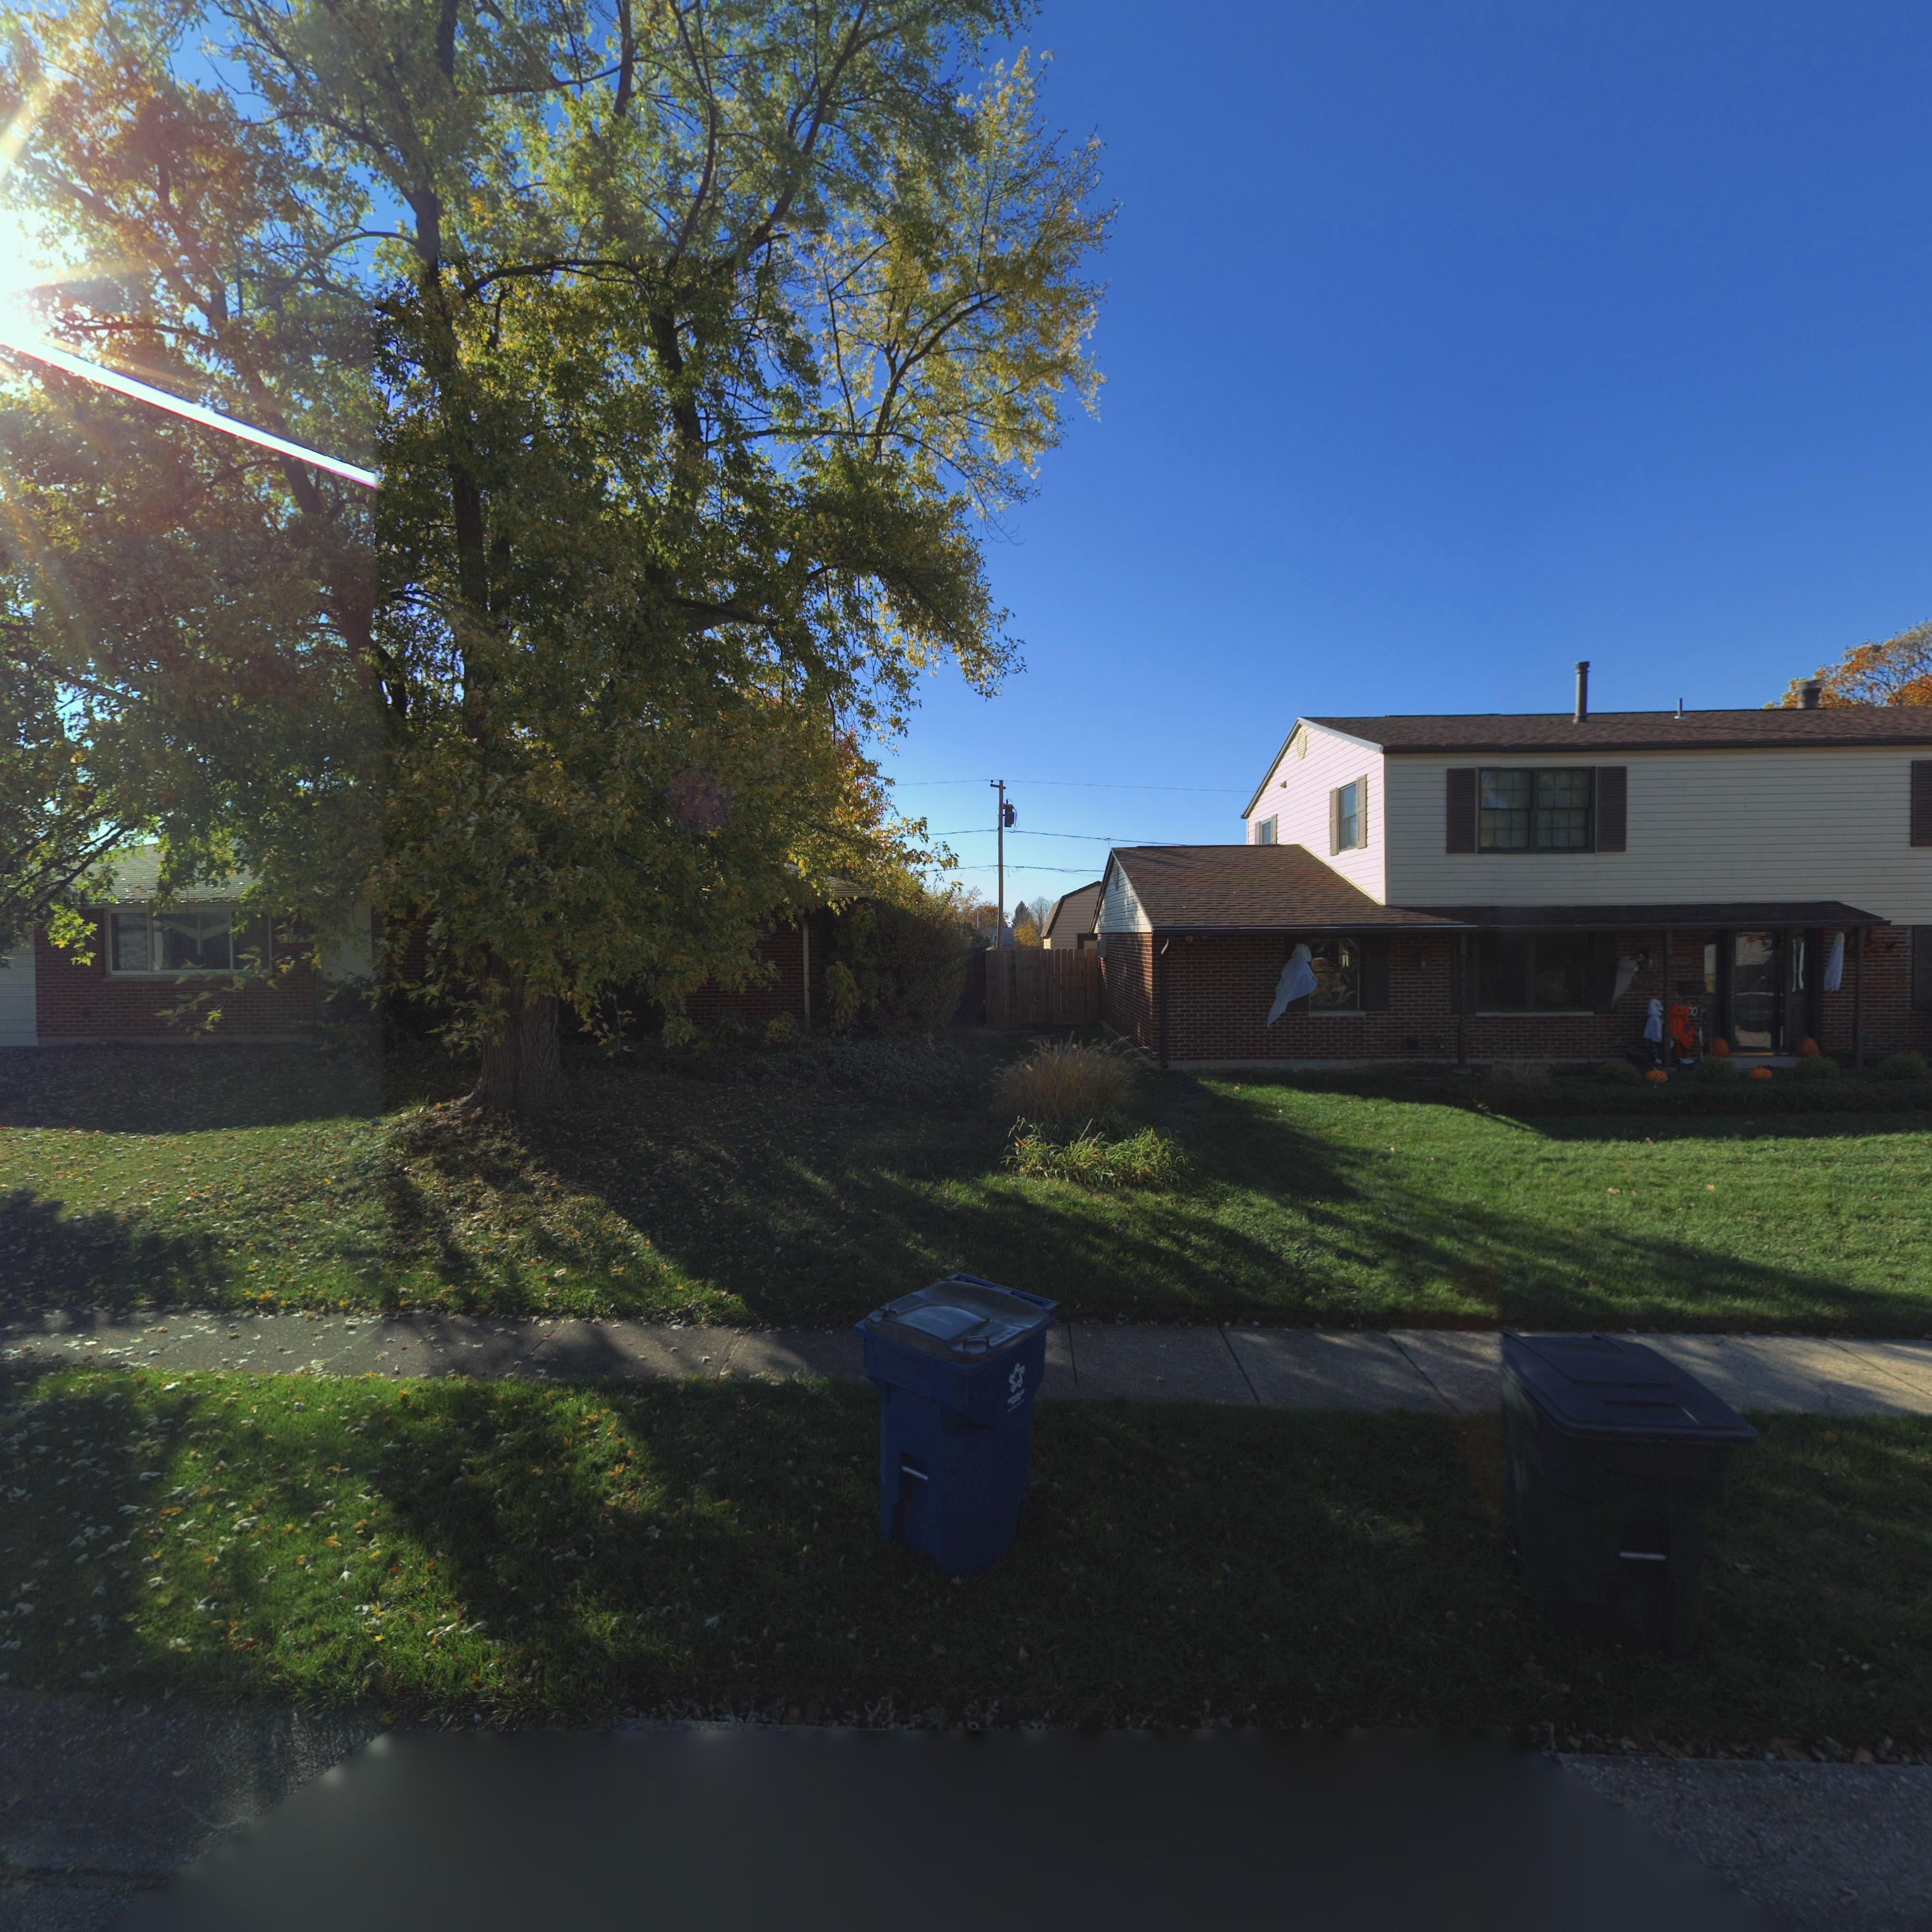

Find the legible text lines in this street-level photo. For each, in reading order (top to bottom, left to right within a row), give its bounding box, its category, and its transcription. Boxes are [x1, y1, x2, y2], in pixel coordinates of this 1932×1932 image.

[1637, 976, 1654, 990] StreetNumber: 212